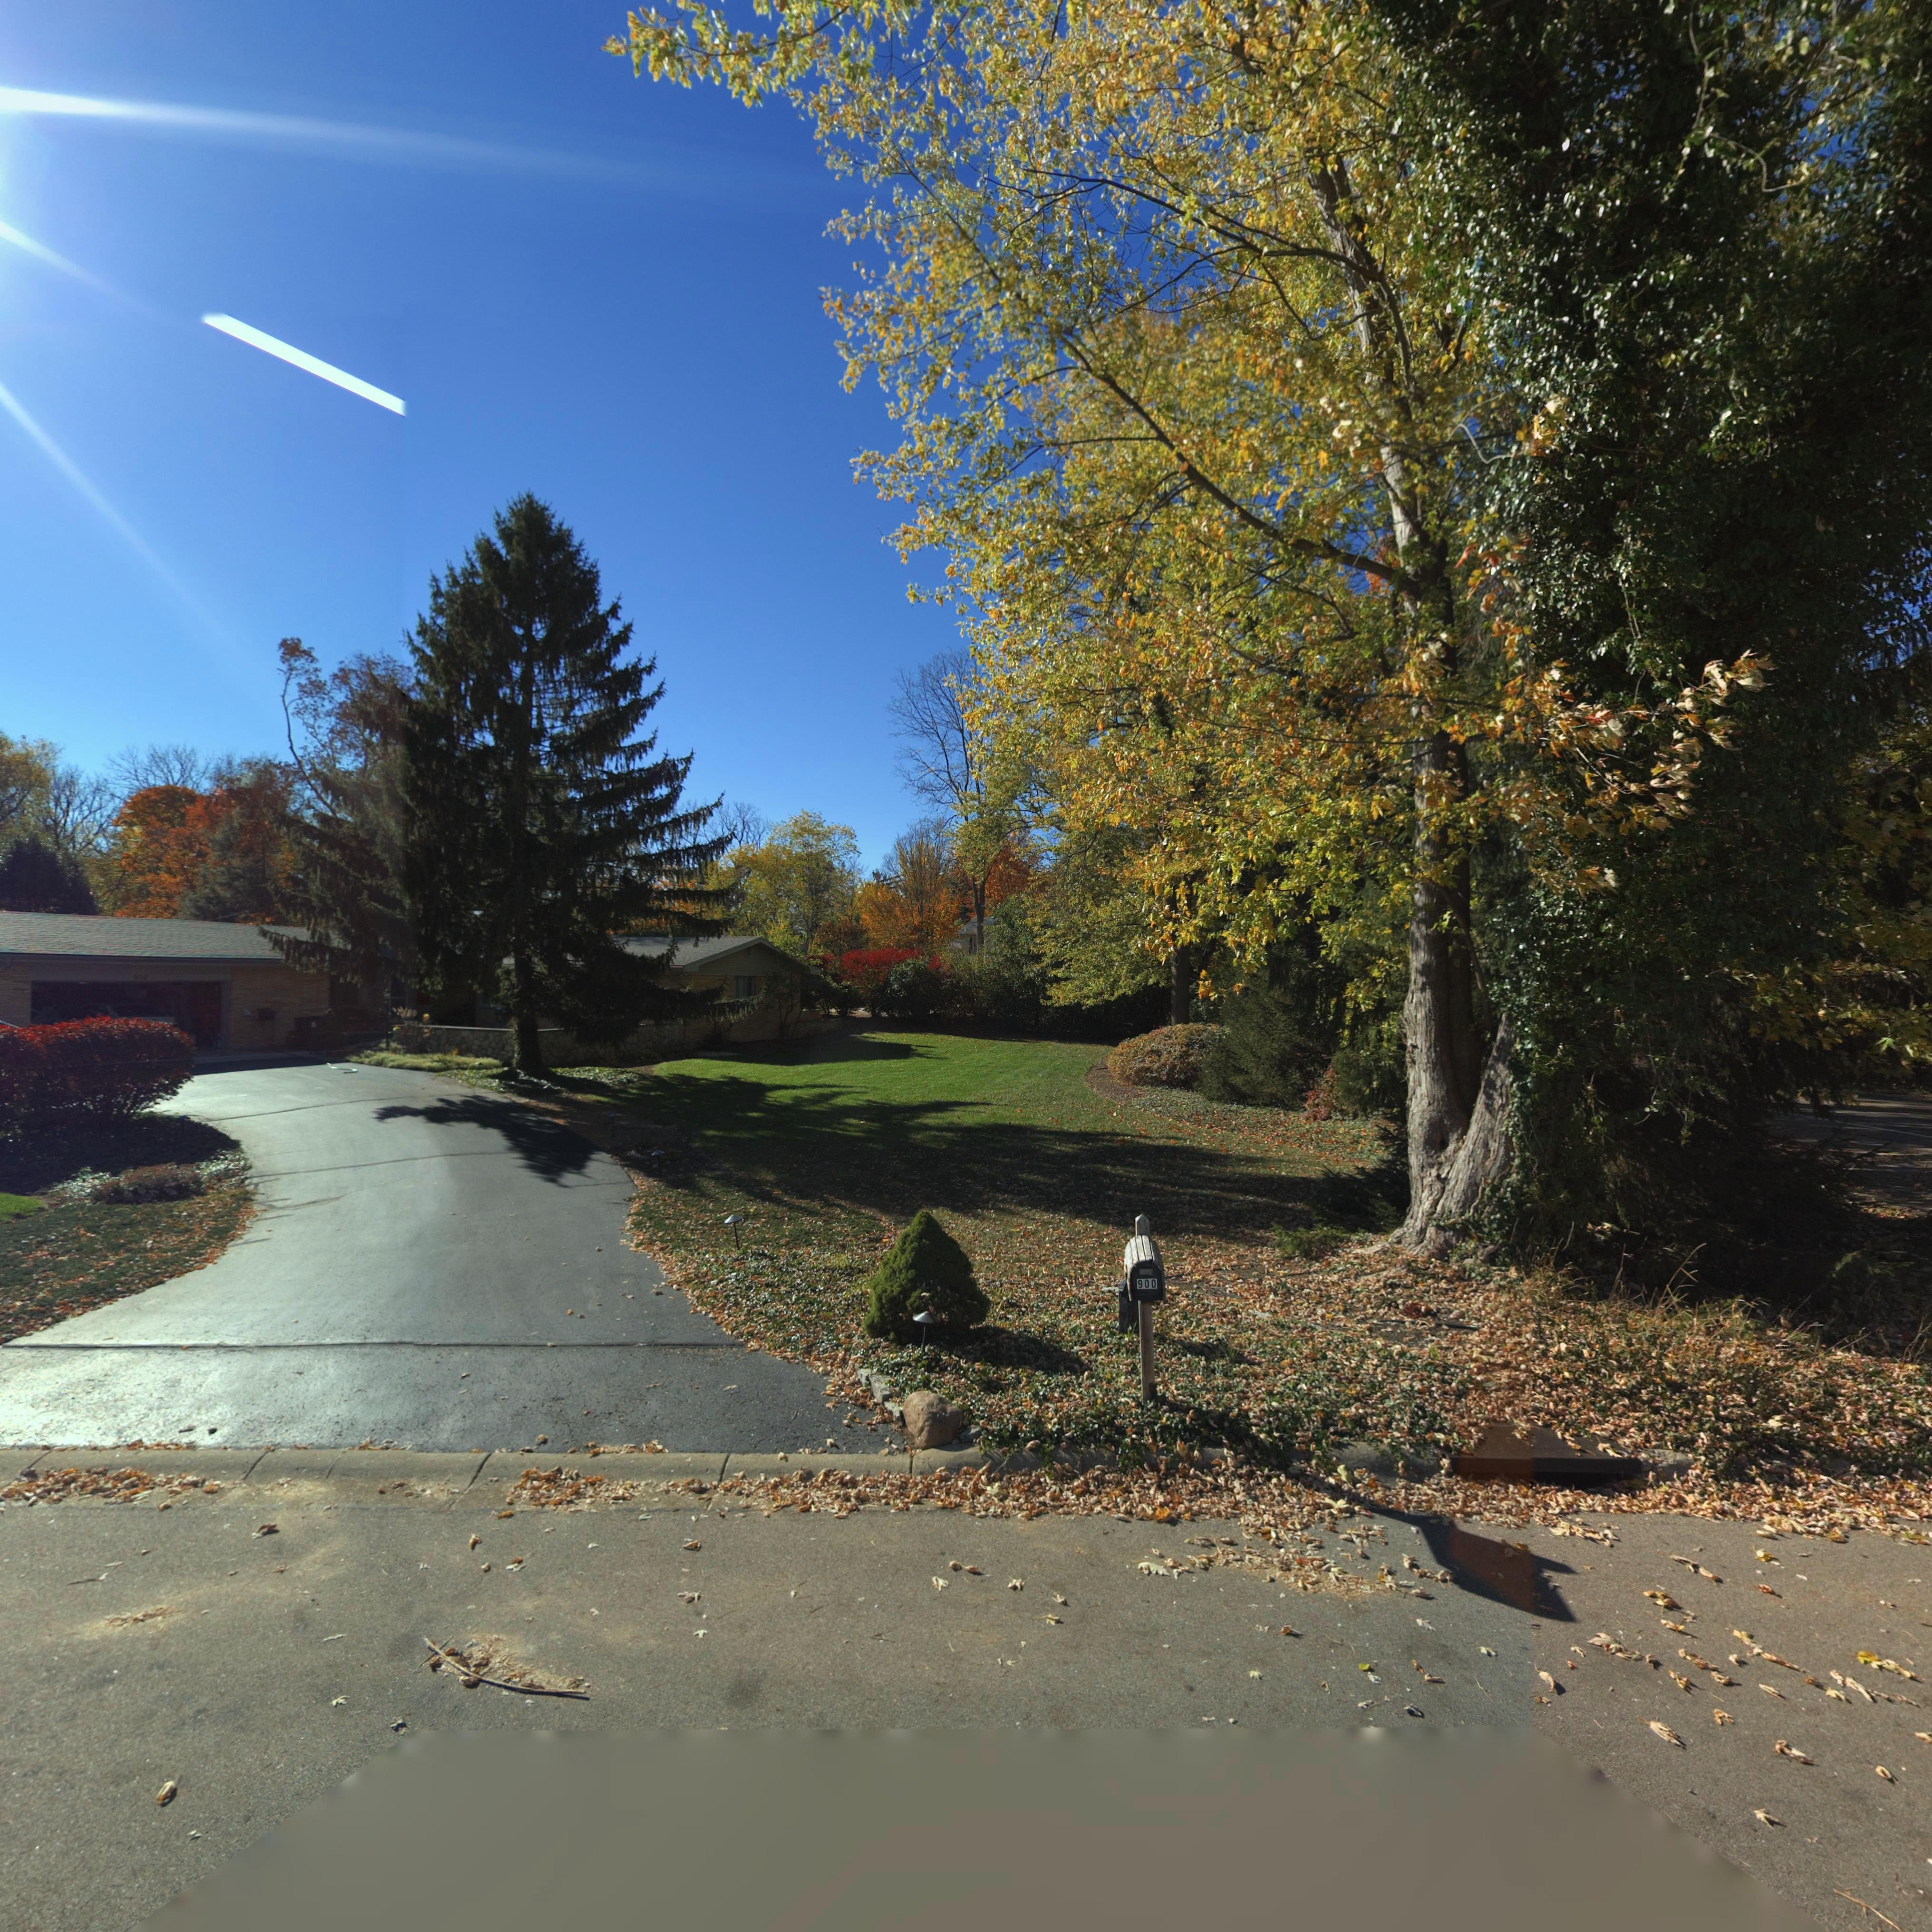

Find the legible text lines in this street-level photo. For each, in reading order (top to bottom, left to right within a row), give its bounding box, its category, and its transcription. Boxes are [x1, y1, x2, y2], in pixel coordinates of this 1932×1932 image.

[133, 974, 148, 980] StreetNumber: 900
[1137, 1278, 1157, 1289] StreetNumber: 900